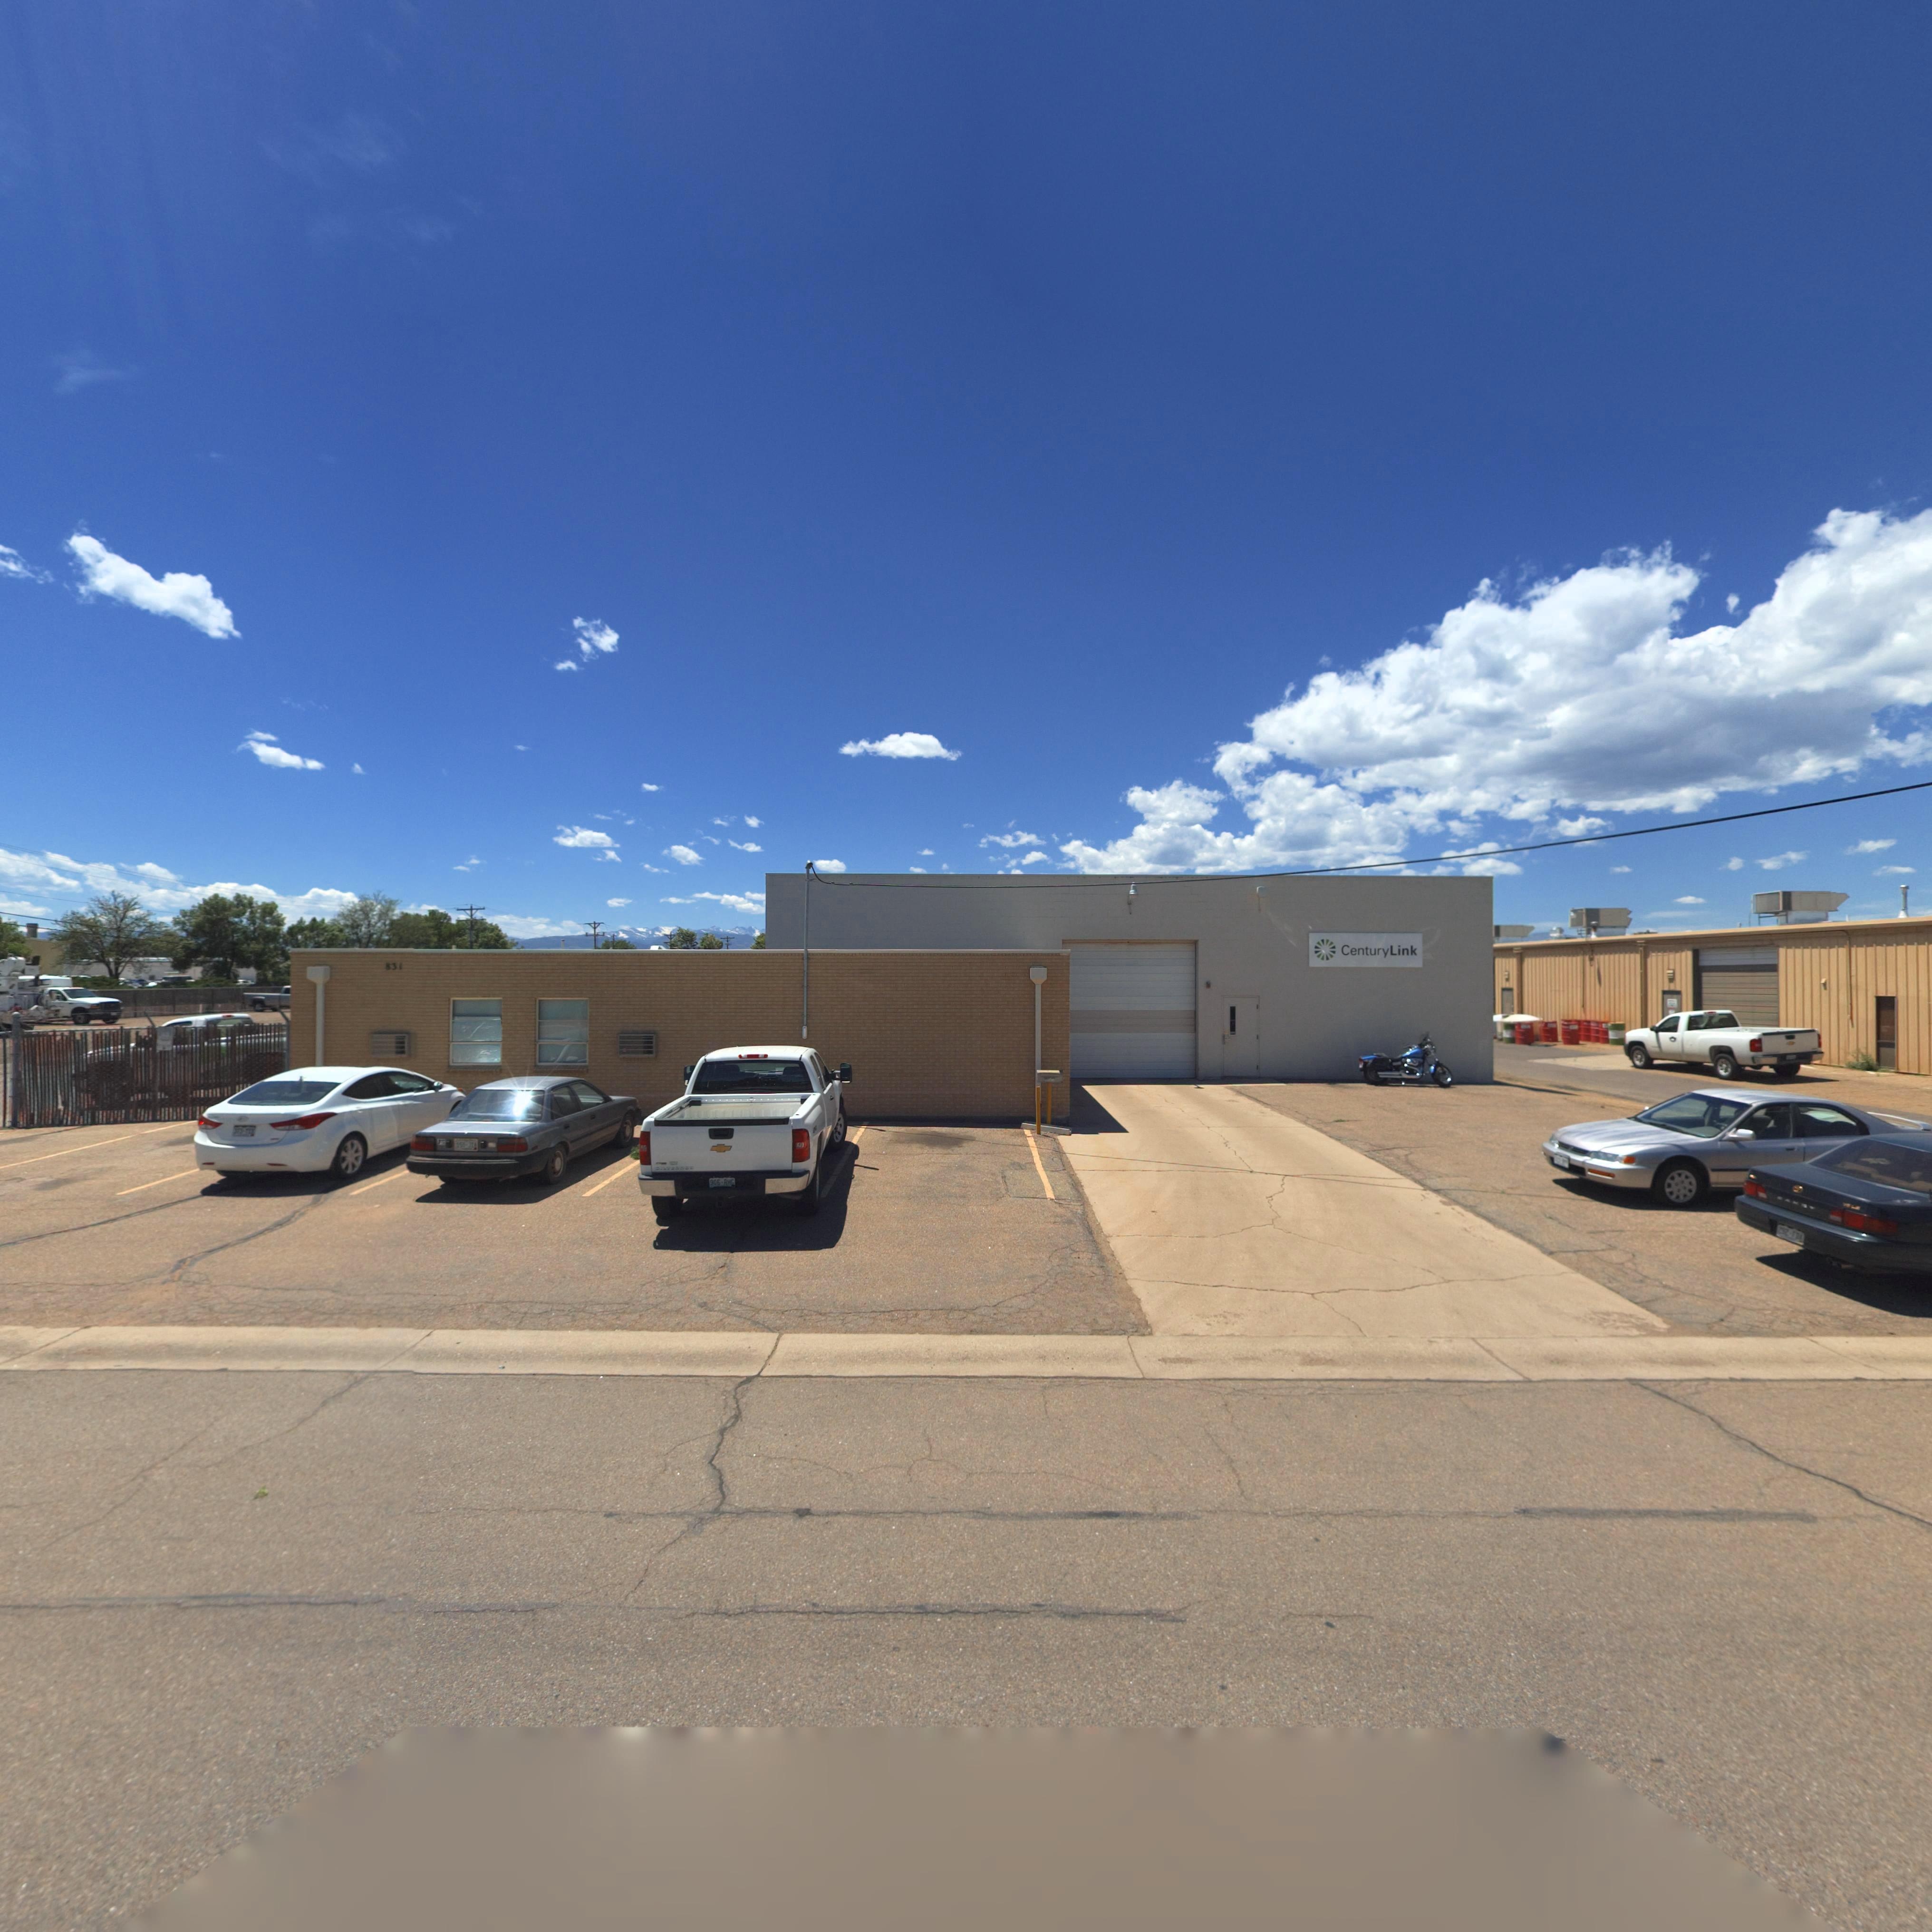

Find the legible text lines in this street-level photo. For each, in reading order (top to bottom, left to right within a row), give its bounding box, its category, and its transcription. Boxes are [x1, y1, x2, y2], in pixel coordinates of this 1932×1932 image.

[1341, 944, 1417, 958] BusinessName: CenturyLink
[385, 962, 402, 970] StreetNumber: 831